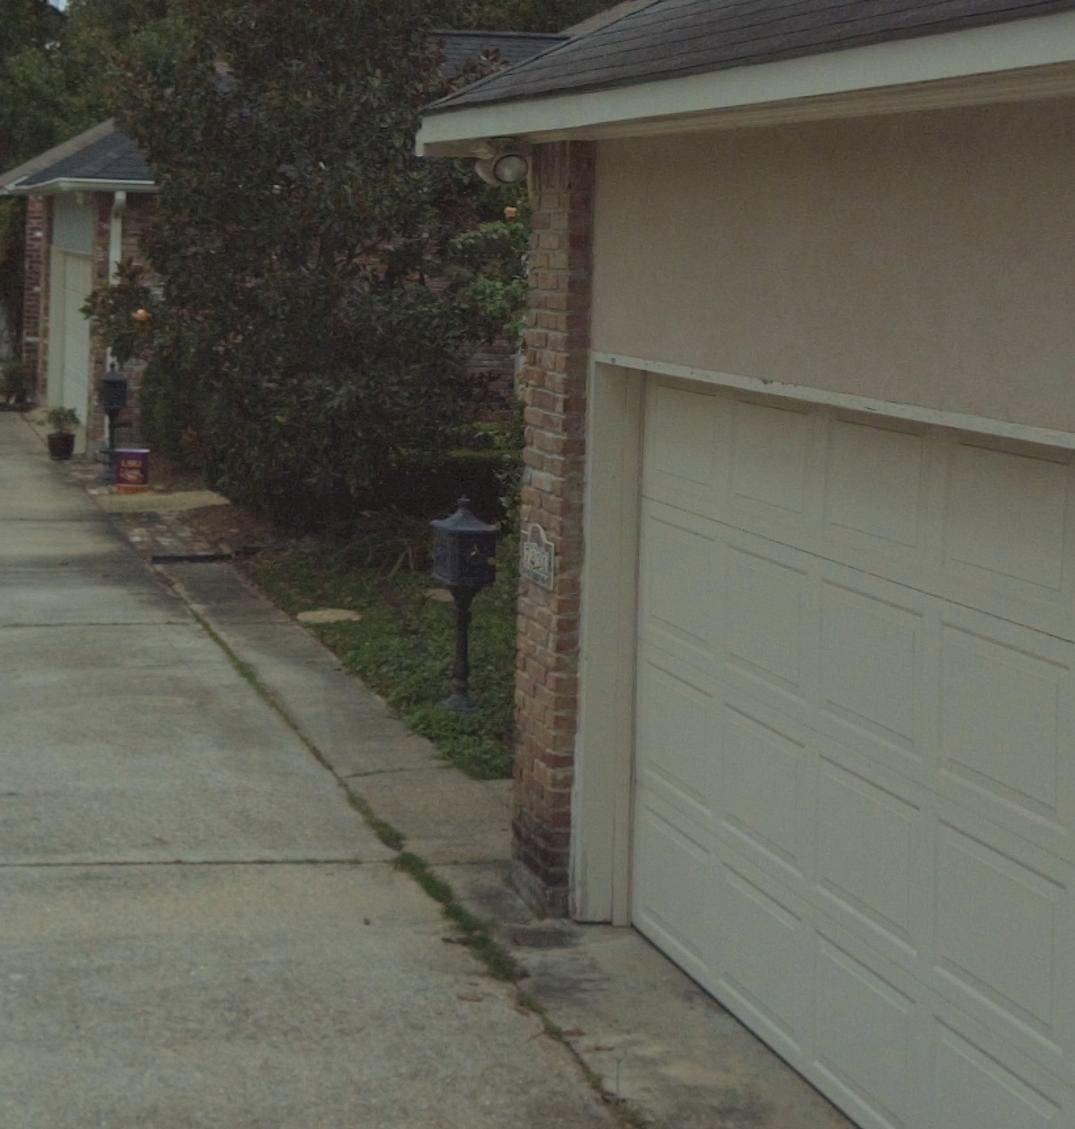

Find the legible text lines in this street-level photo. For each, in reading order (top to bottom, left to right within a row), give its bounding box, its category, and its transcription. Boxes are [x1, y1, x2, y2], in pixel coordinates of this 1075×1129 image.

[524, 547, 547, 564] StreetNumber: 7831